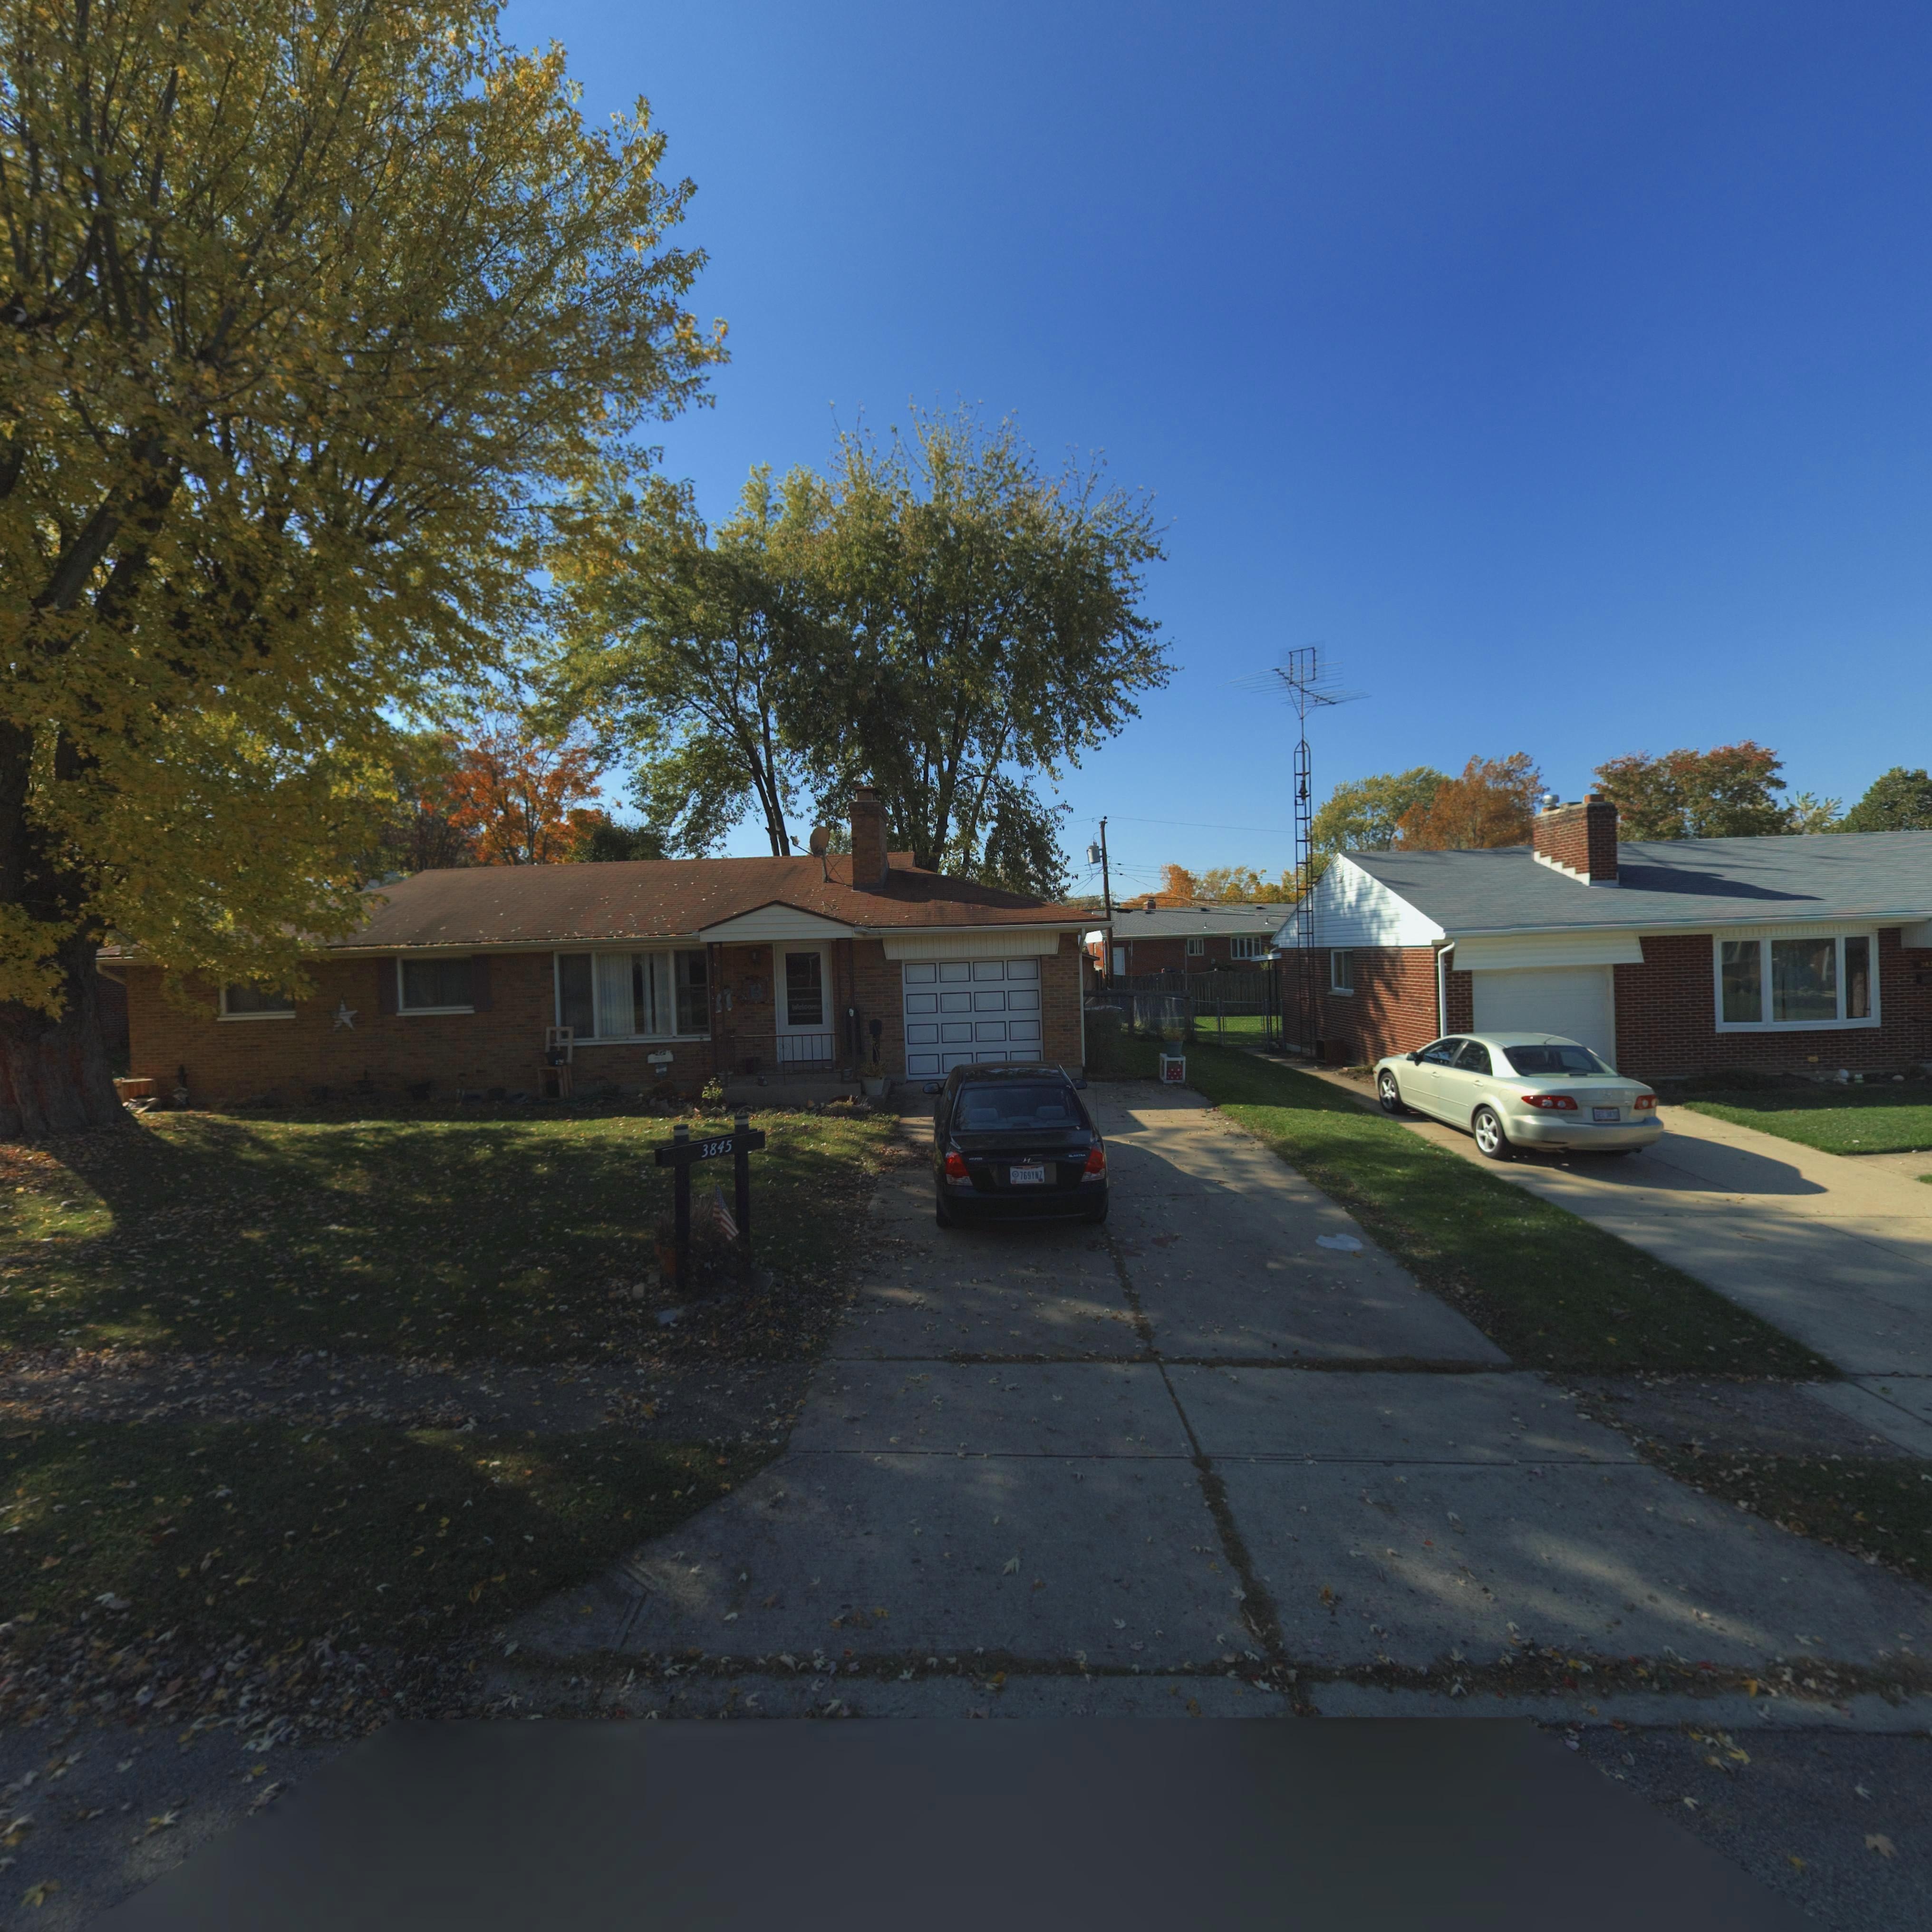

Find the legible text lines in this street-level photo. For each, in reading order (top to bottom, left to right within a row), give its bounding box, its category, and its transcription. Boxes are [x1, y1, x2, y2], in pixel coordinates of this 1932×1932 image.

[749, 984, 764, 1001] None: B
[790, 1002, 823, 1013] None: W*lco**
[700, 1138, 734, 1159] StreetNumber: 3845
[1018, 1169, 1043, 1182] None: 769YN7